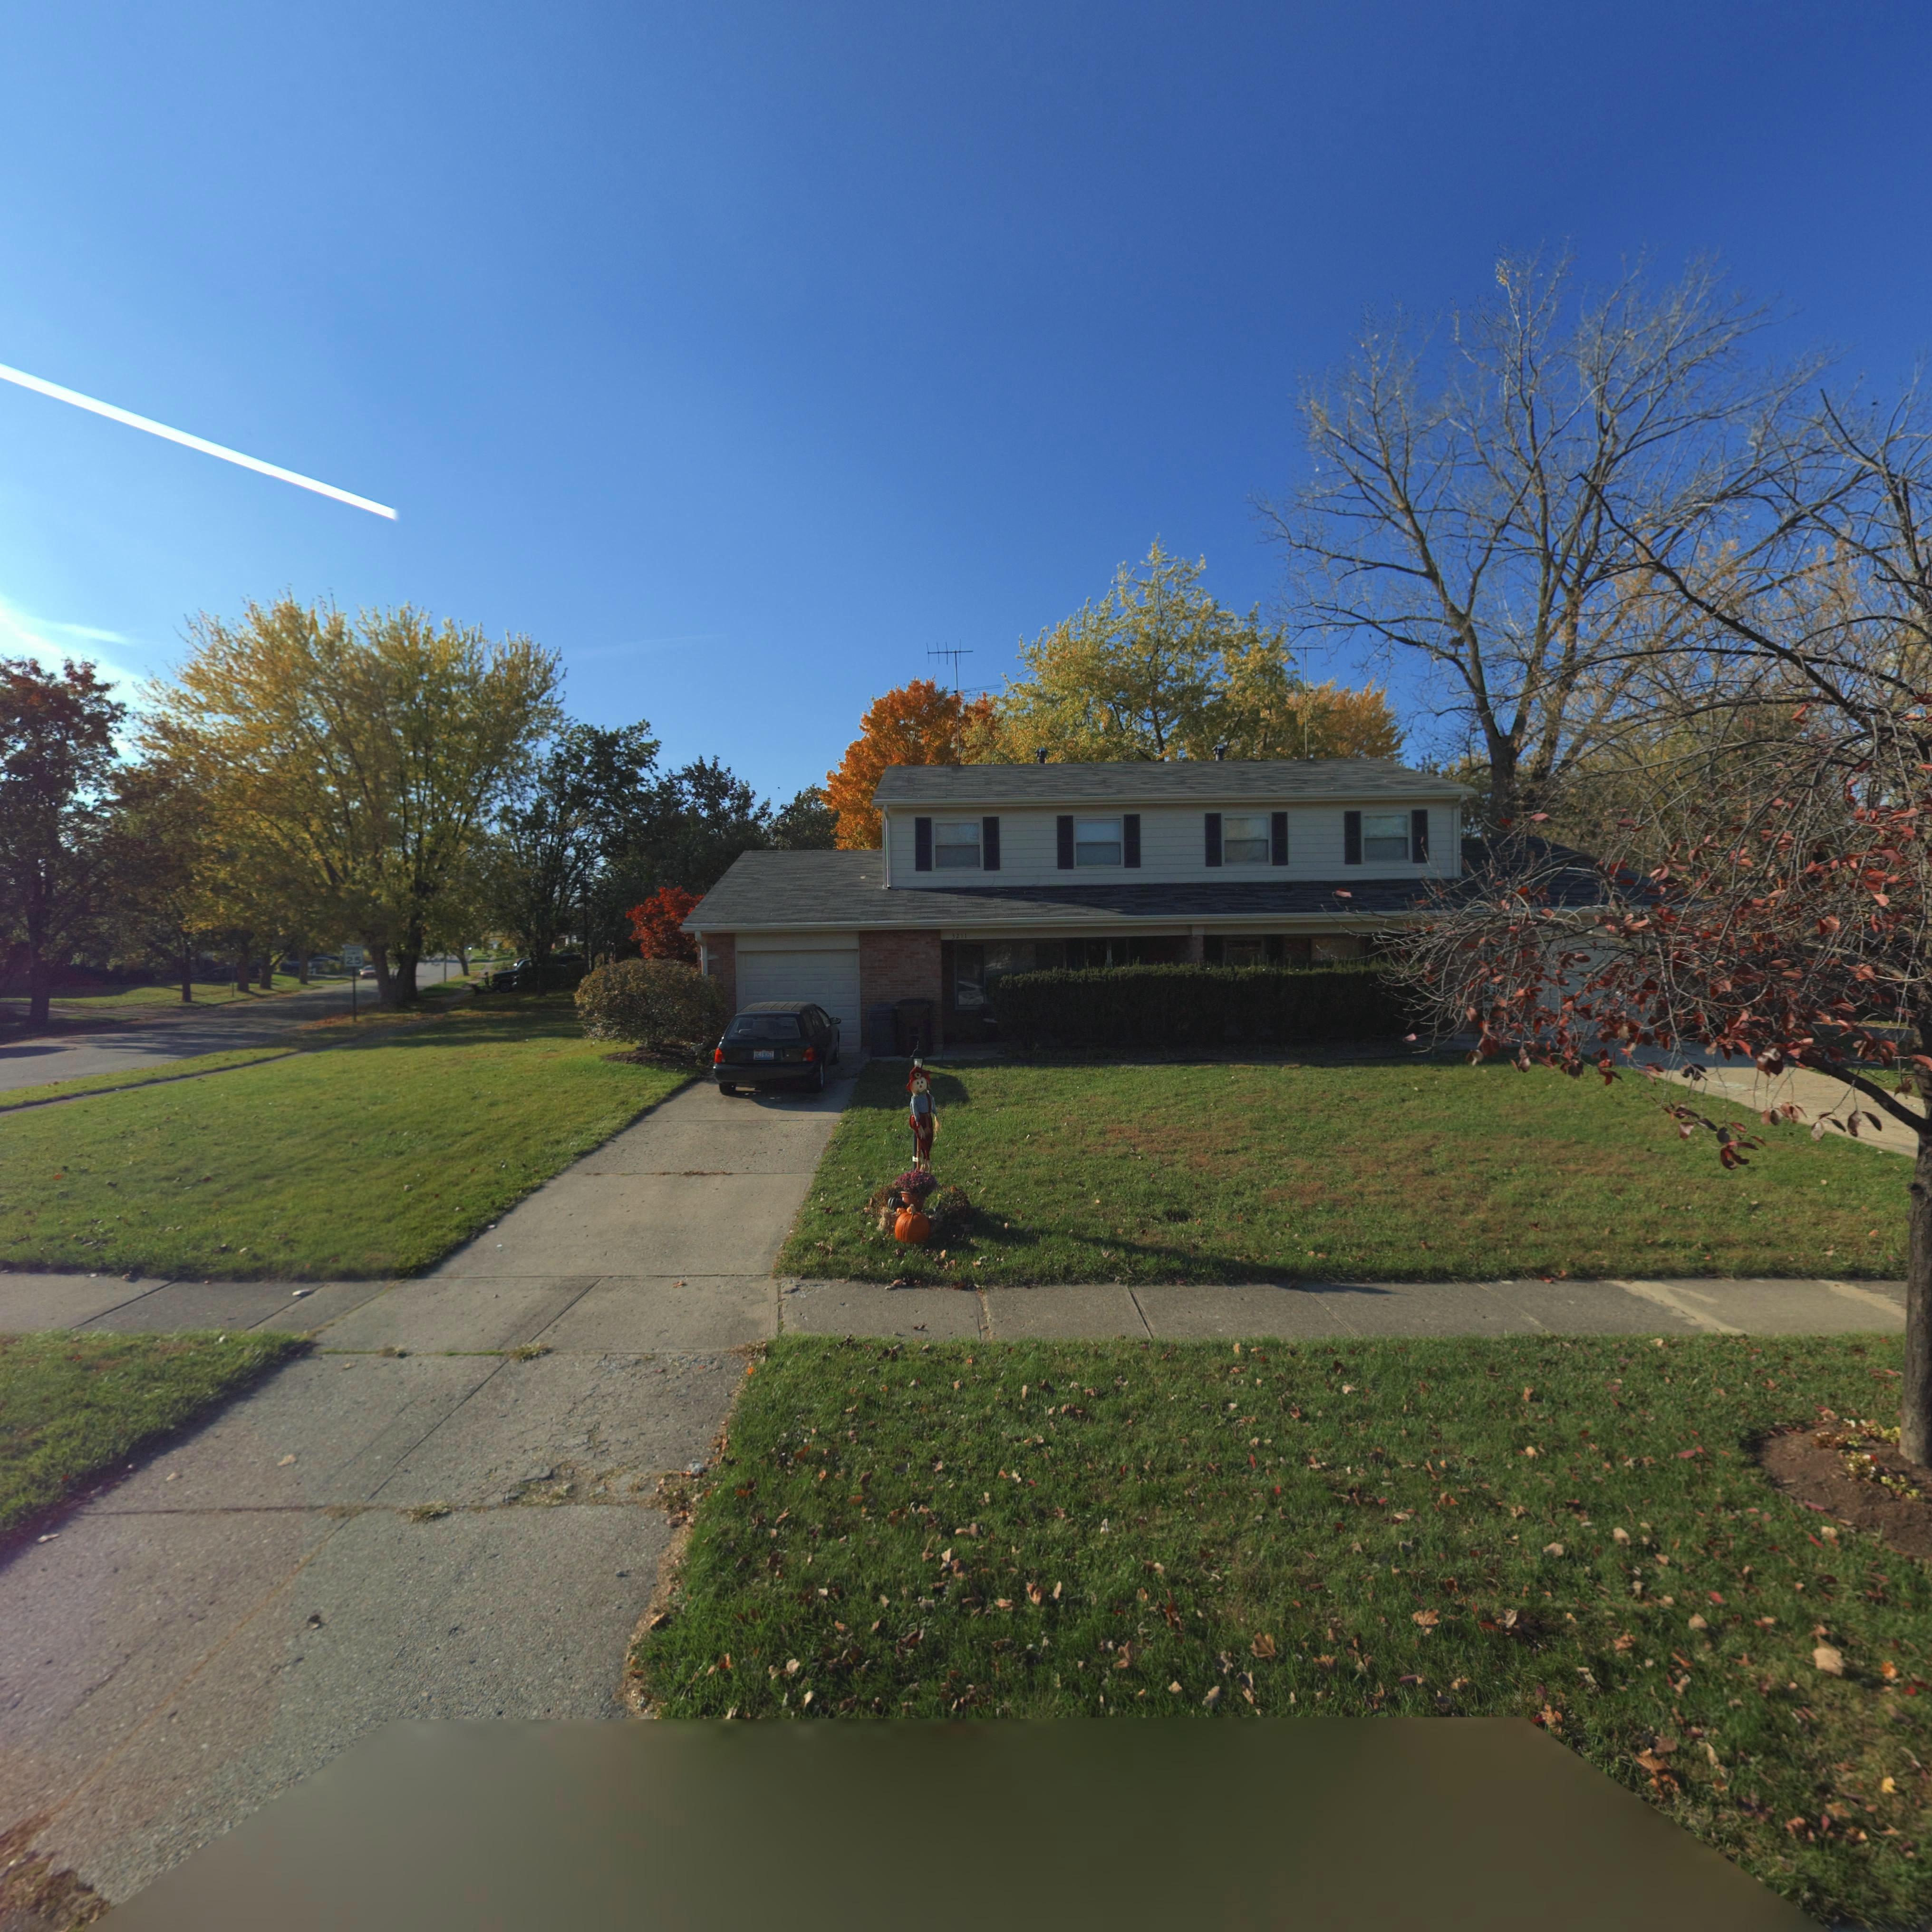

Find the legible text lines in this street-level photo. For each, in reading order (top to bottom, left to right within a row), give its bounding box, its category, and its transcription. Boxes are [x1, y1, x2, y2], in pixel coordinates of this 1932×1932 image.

[951, 932, 966, 940] StreetNumber: 3211